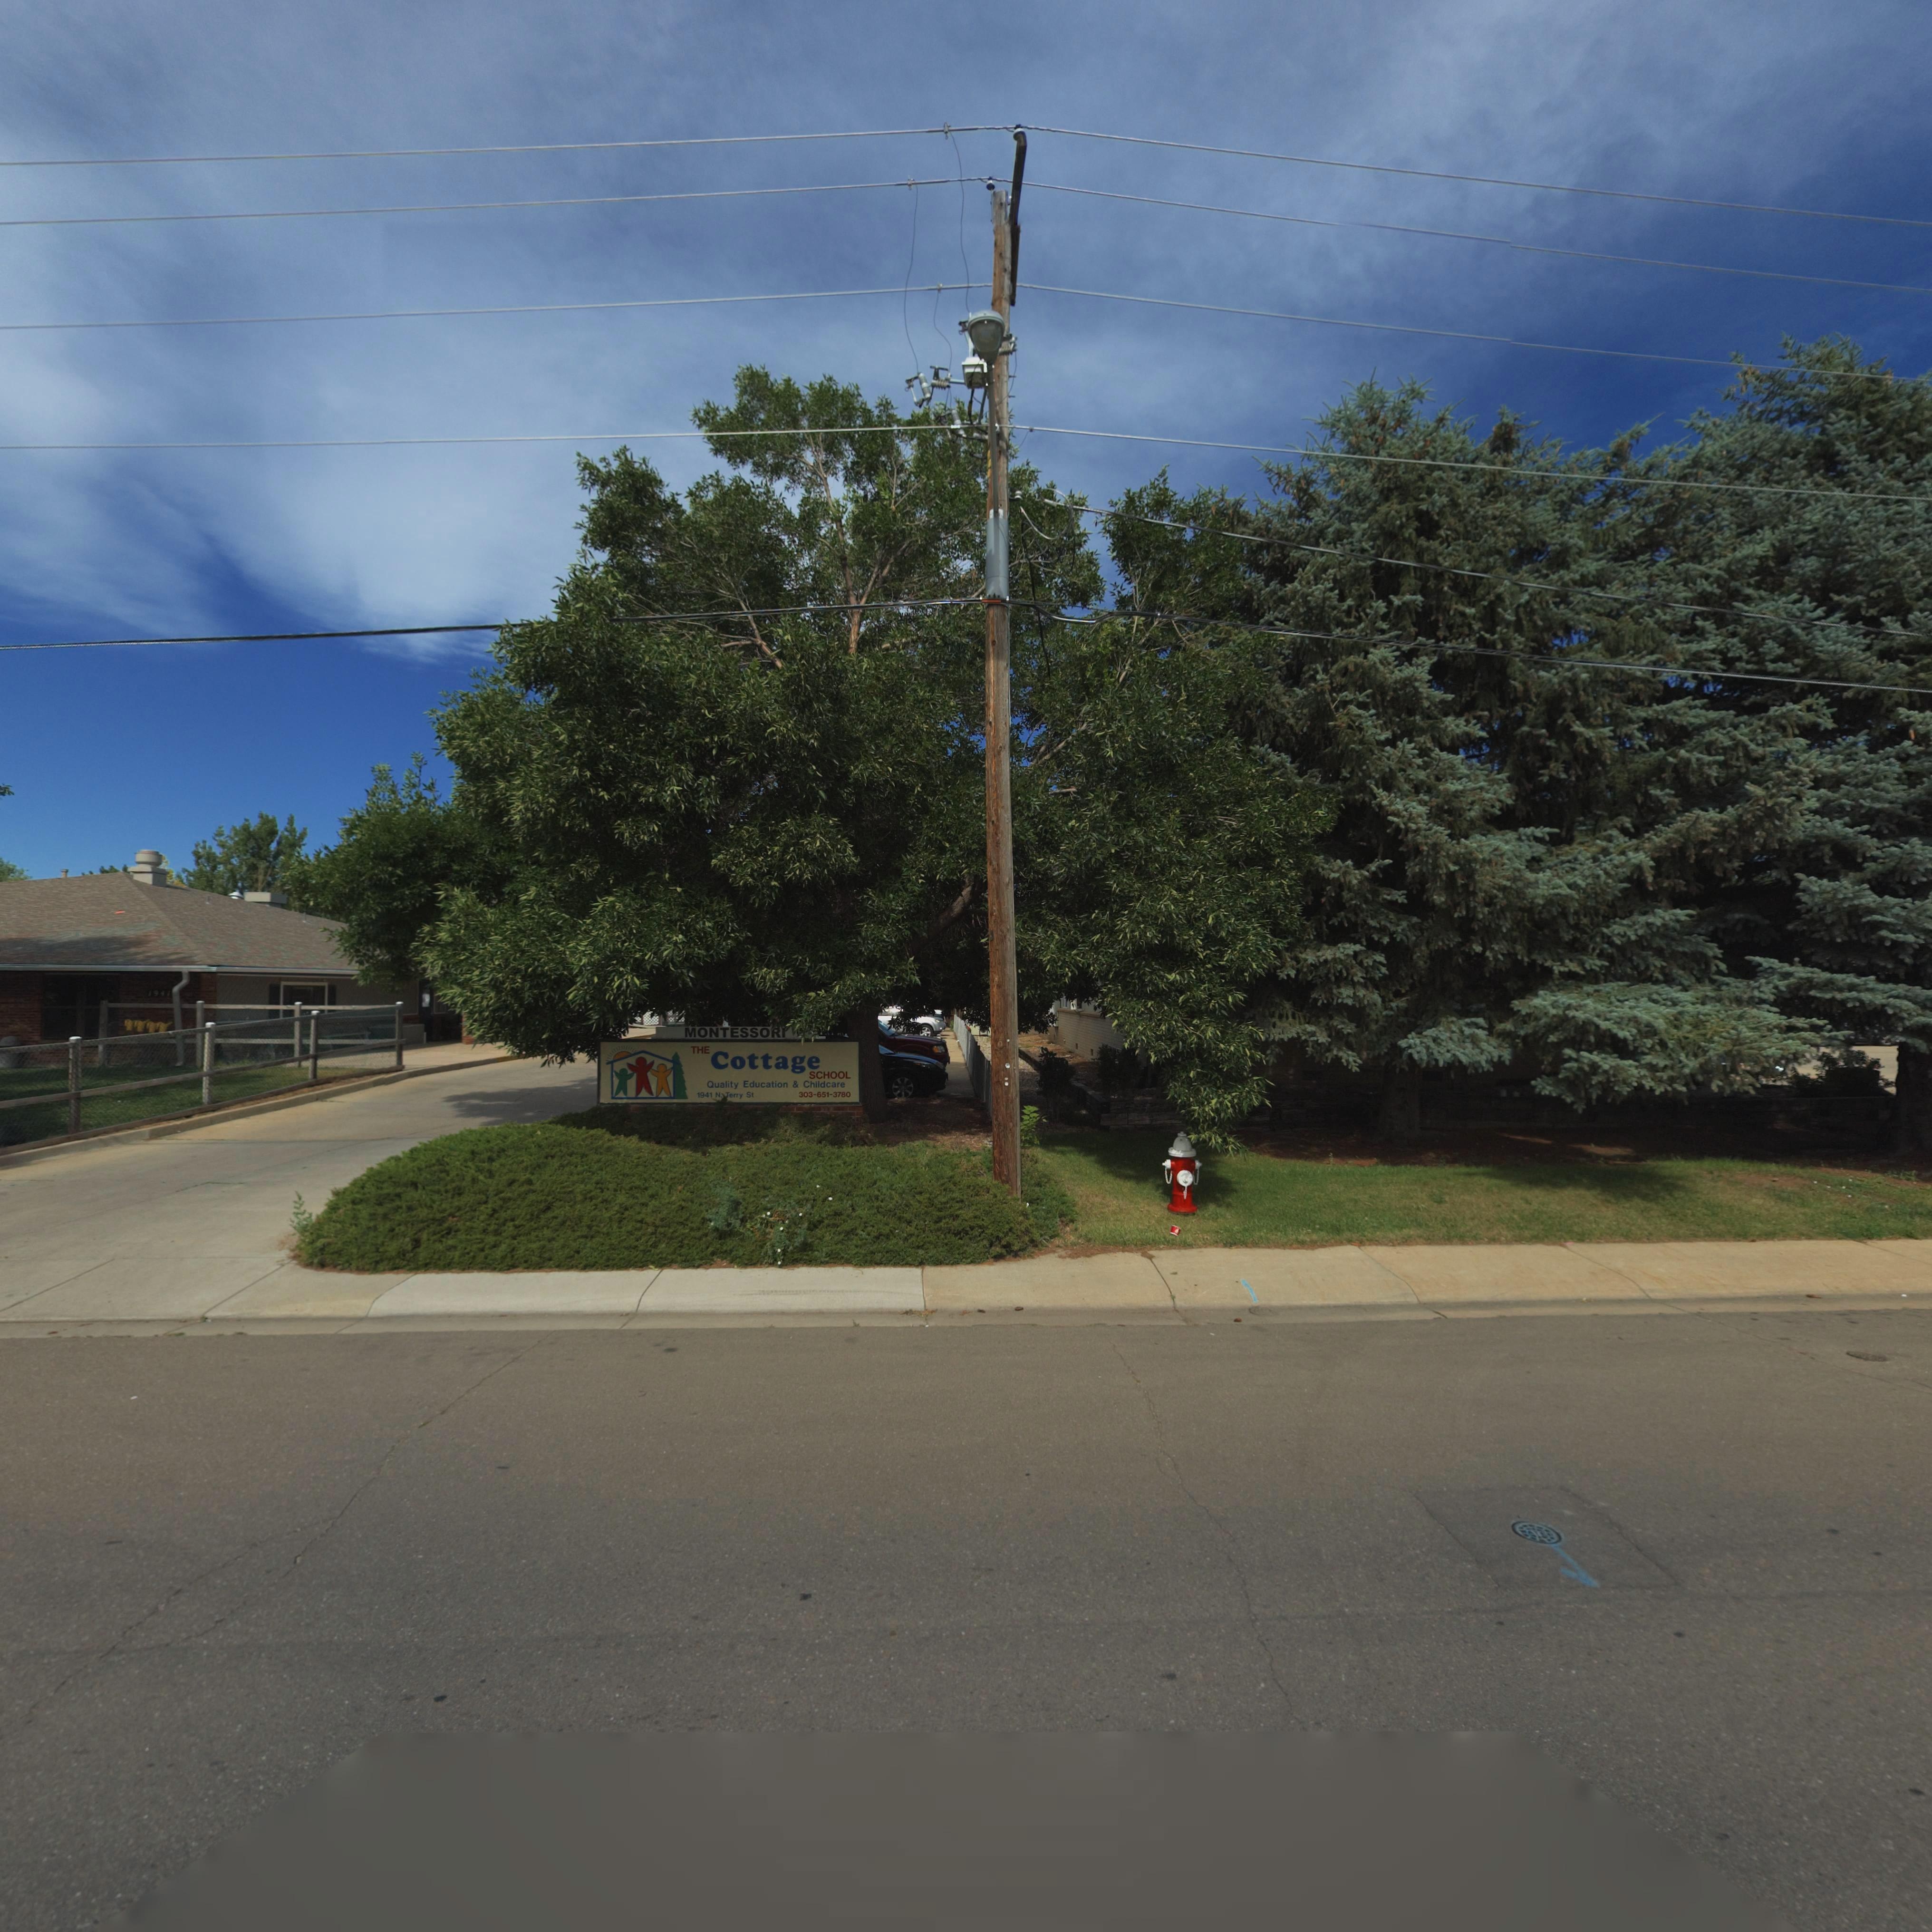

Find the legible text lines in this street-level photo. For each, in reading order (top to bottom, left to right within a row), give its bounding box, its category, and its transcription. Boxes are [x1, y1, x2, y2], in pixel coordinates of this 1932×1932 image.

[147, 989, 171, 996] StreetNumber: 1941
[684, 1026, 786, 1038] BusinessName: MONTESSORI
[690, 1045, 710, 1054] BusinessName: THE
[710, 1051, 821, 1074] BusinessName: Cottage
[809, 1071, 851, 1079] BusinessName: SCHOOL
[696, 1092, 712, 1098] StreetNumber: 1941
[715, 1092, 754, 1100] StreetName: N. Terry St